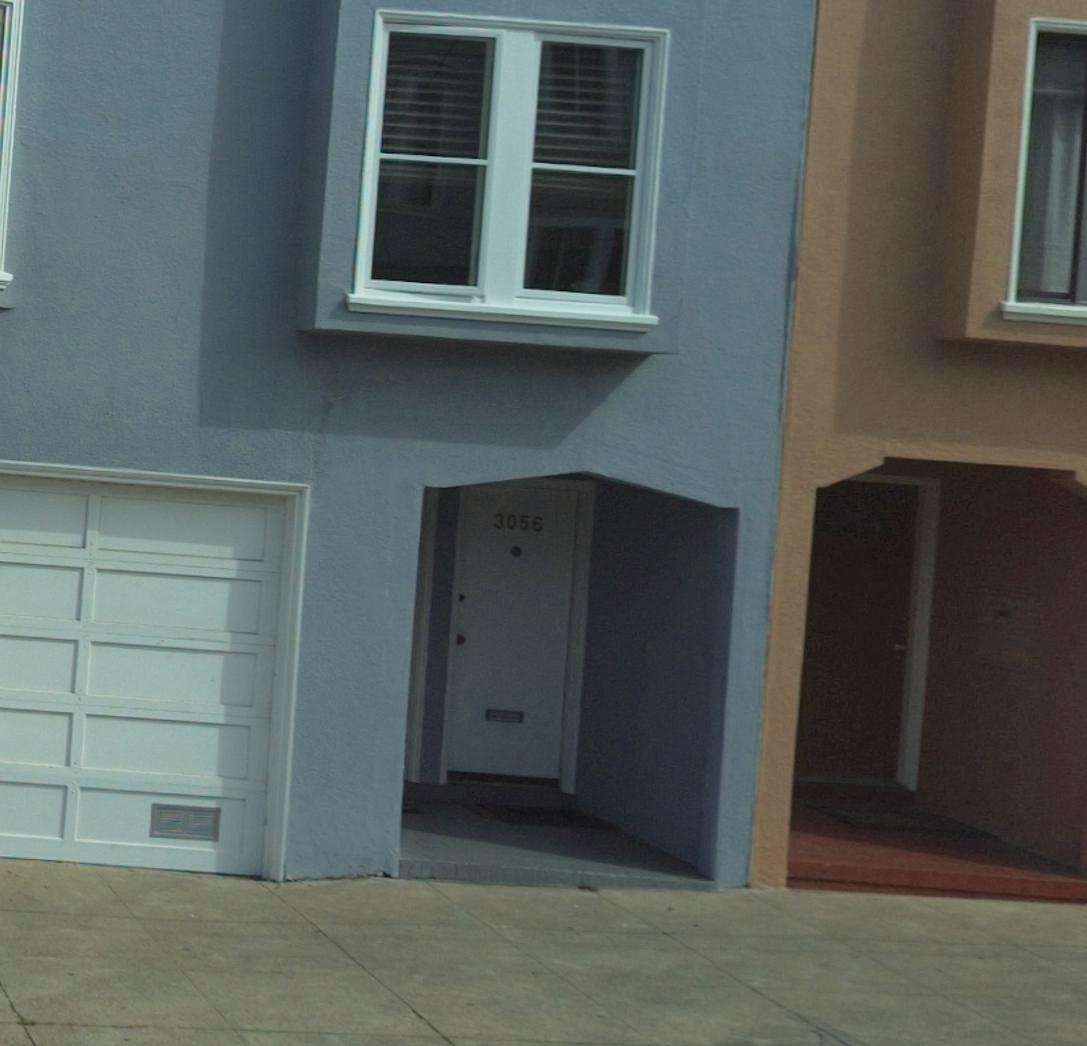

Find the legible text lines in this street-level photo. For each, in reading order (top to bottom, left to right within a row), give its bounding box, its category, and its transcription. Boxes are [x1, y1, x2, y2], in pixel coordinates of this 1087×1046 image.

[489, 510, 546, 535] StreetNumber: 3056